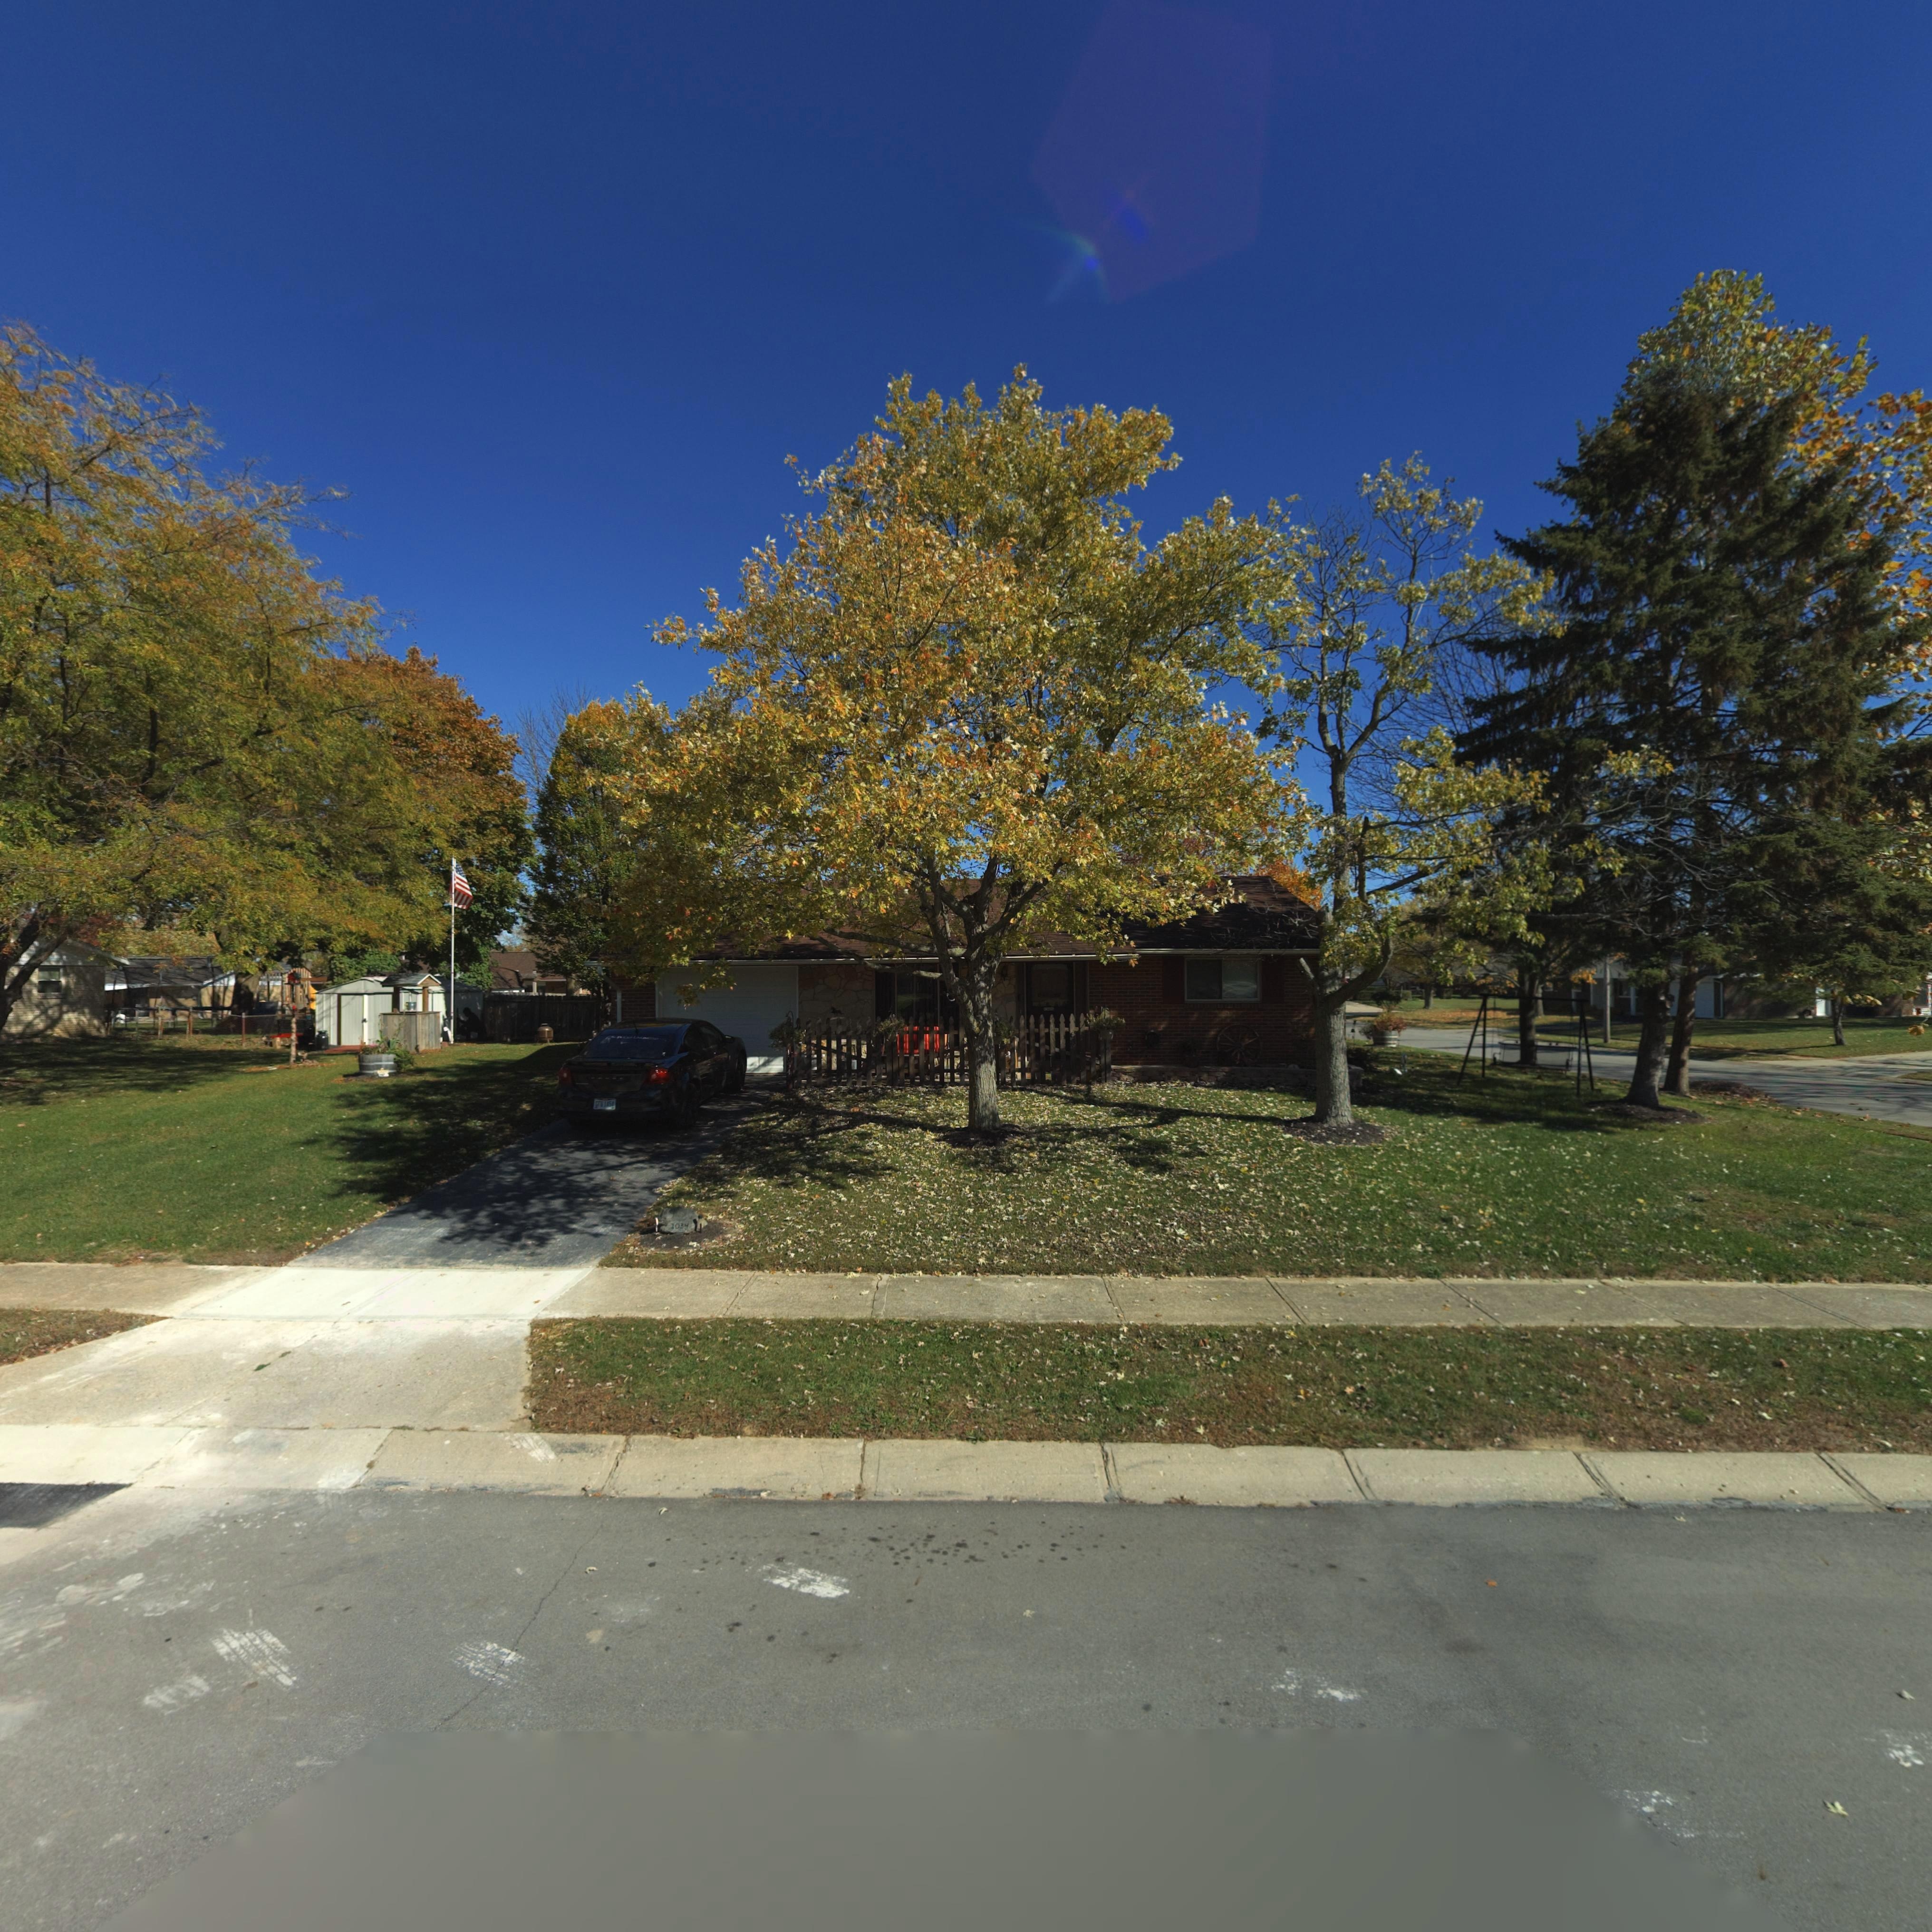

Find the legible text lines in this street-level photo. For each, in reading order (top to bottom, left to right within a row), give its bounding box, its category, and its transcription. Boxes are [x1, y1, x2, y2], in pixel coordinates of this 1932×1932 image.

[670, 1222, 690, 1229] StreetNumber: 1034